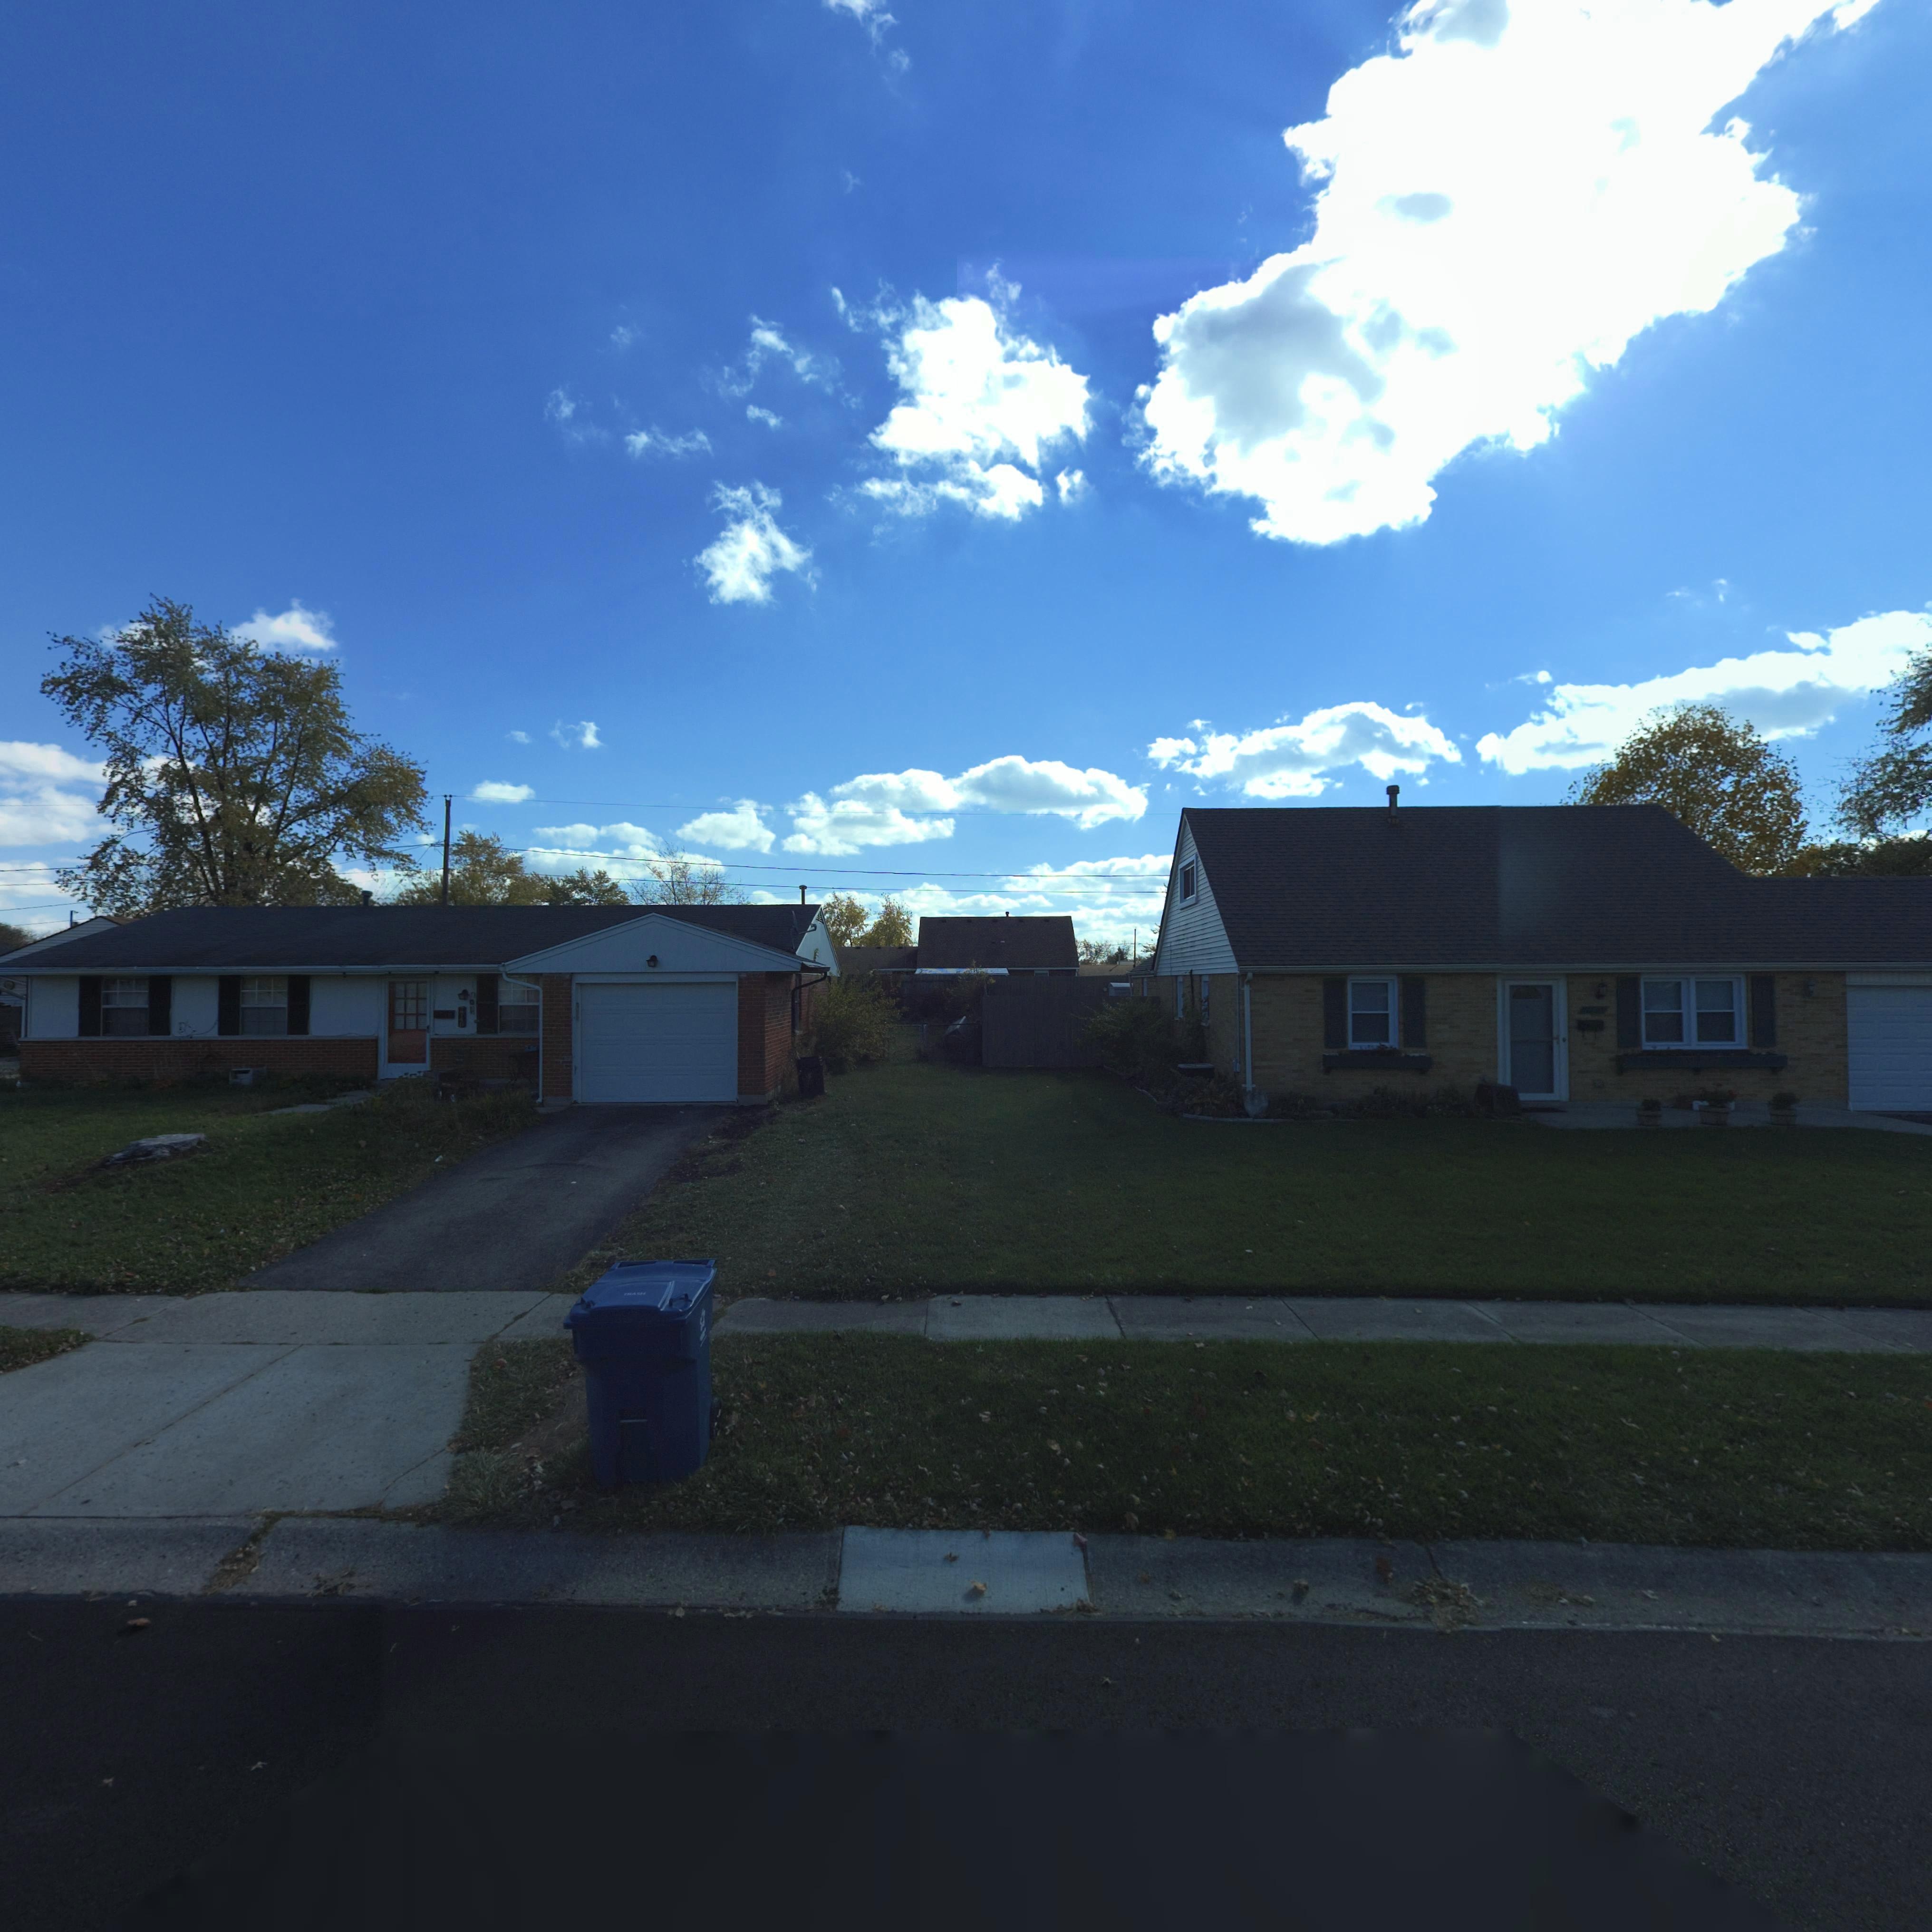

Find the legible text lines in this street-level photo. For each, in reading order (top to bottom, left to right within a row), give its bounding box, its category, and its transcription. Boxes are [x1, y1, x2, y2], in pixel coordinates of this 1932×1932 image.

[459, 1005, 464, 1028] StreetNumber: 7740